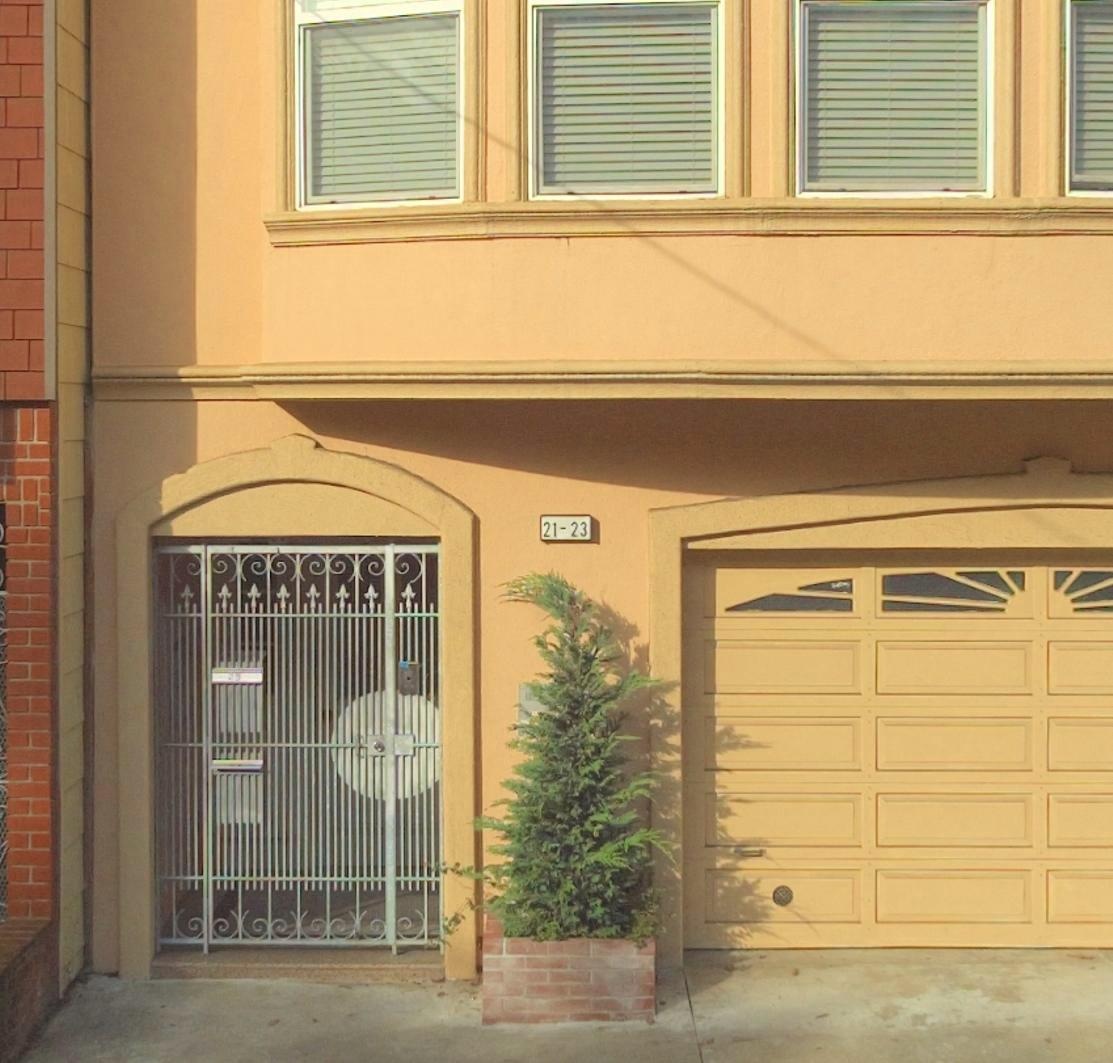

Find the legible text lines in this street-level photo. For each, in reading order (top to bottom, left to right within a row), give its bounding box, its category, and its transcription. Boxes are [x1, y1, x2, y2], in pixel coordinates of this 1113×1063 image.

[541, 519, 589, 540] StreetNumber: 21-23